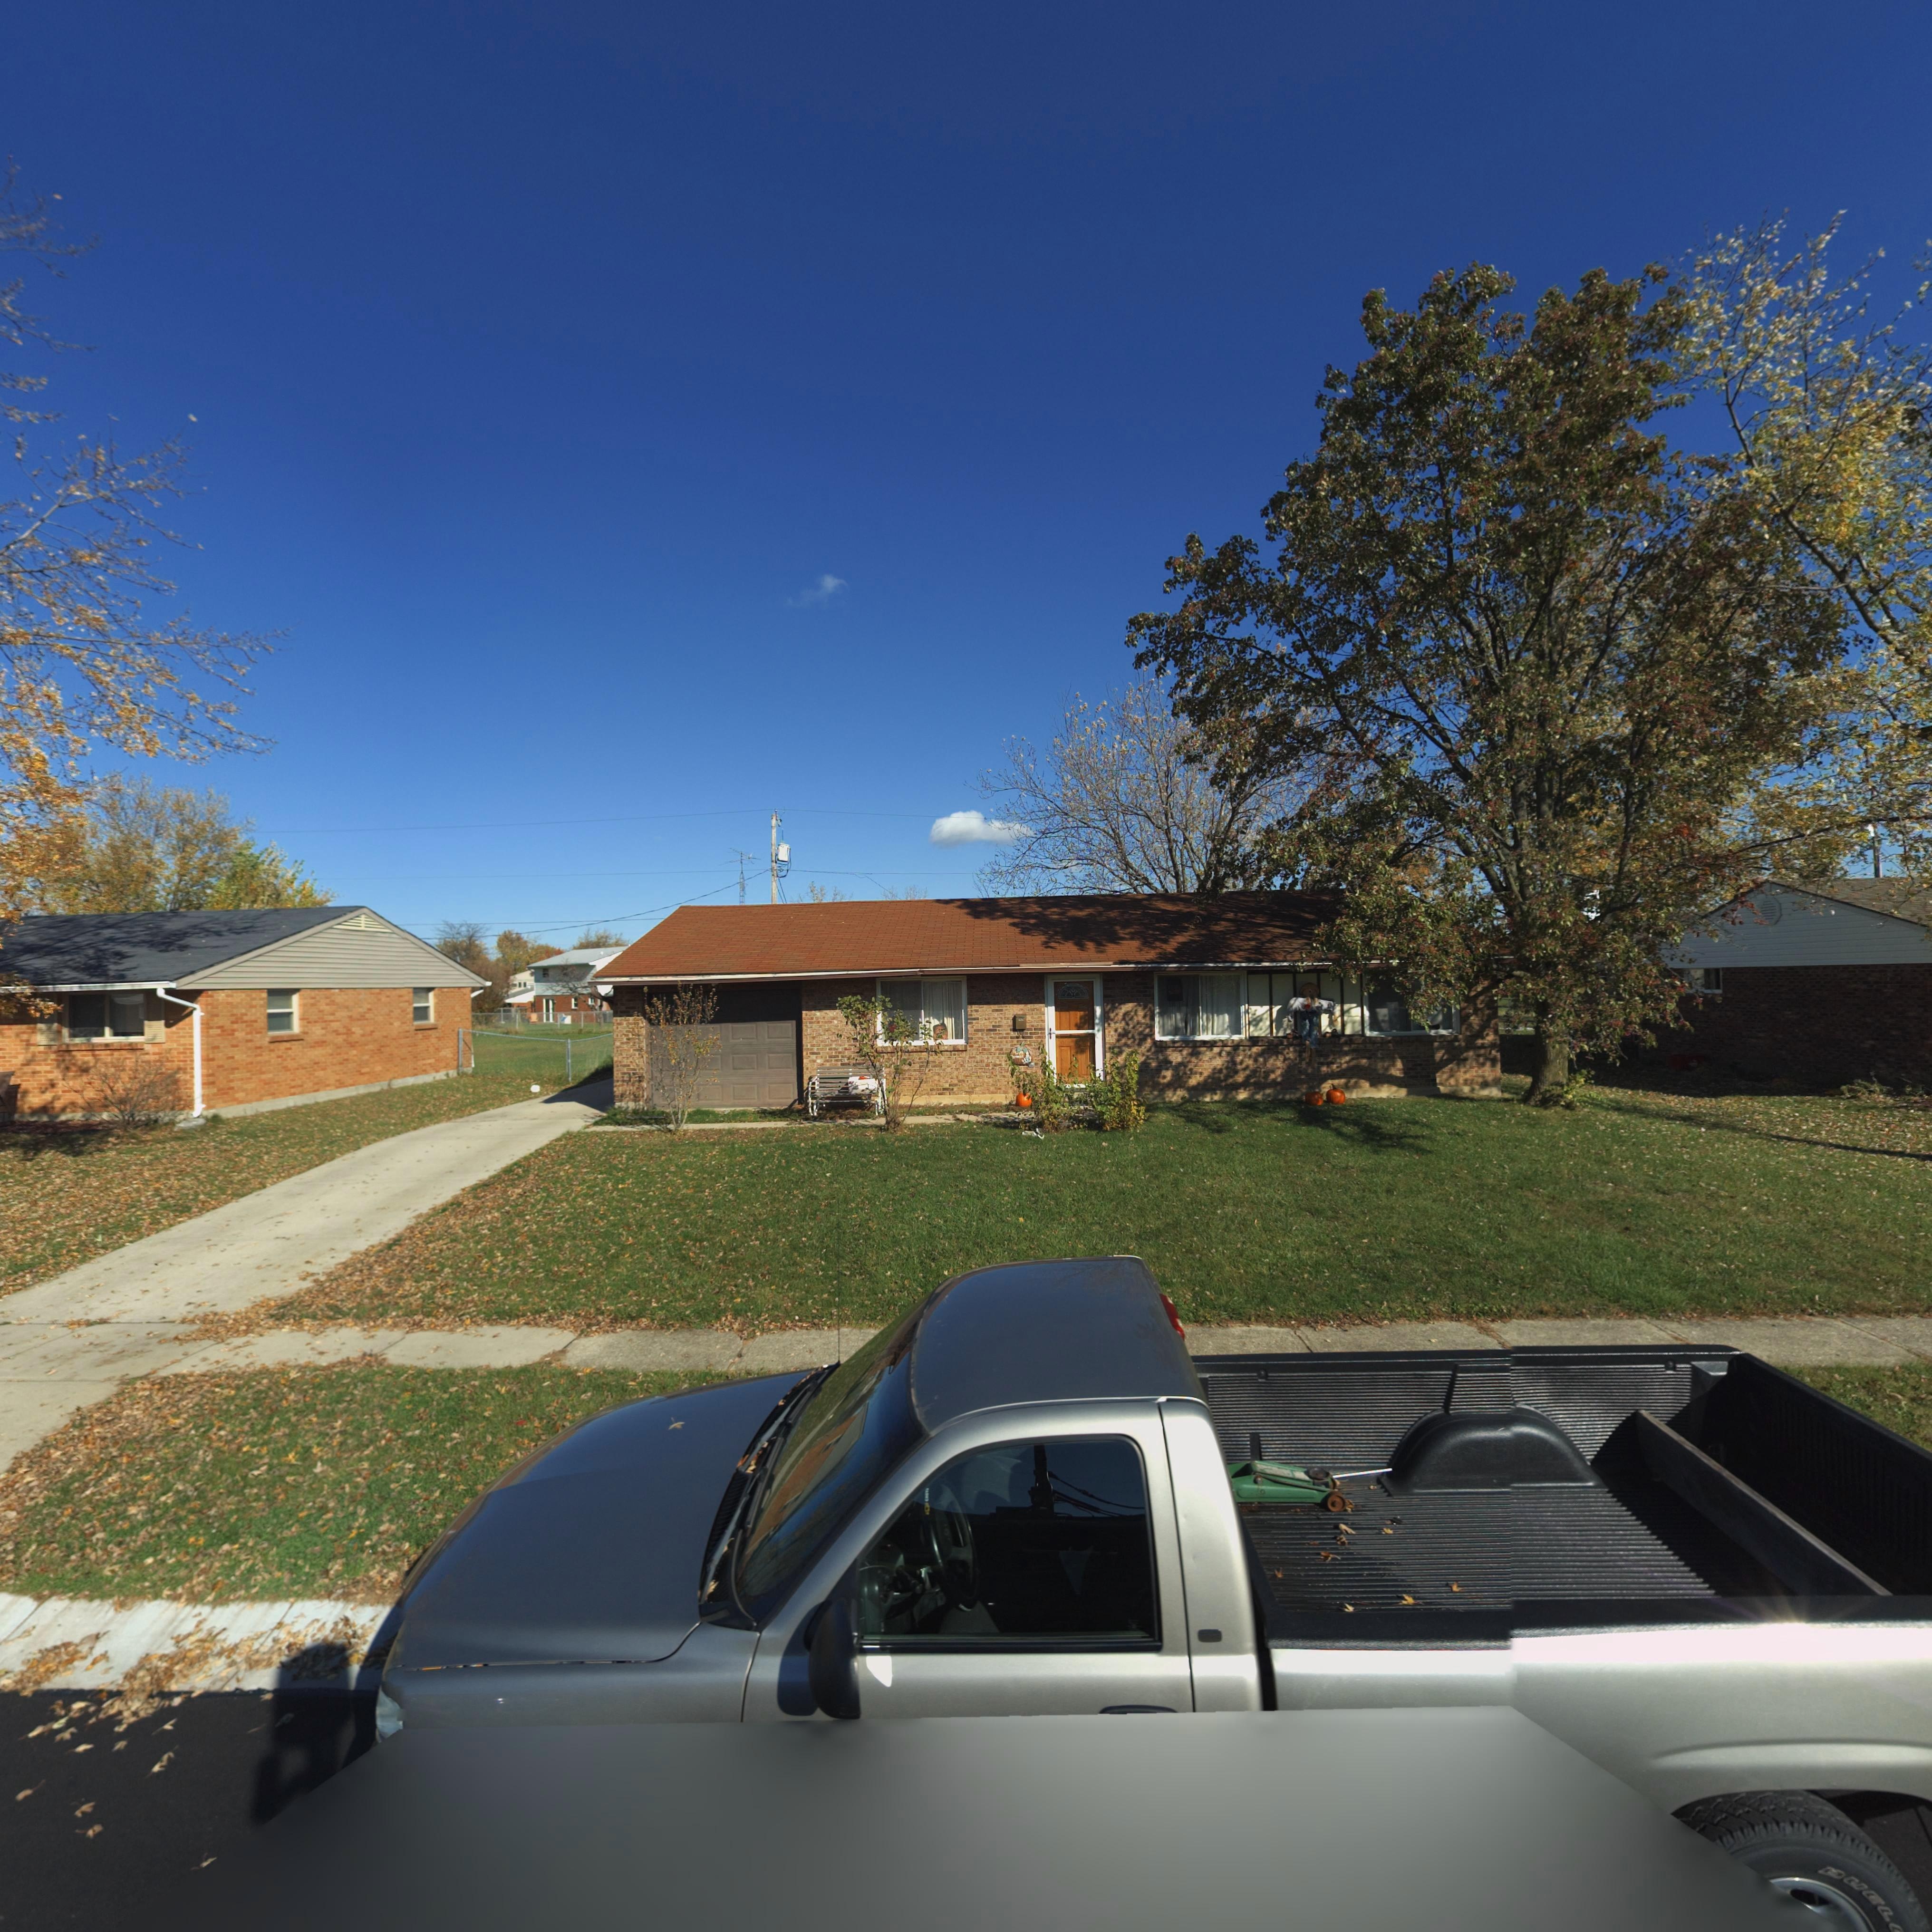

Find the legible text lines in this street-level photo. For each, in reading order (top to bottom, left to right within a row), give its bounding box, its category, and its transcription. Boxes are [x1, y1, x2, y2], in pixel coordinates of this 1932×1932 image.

[718, 984, 723, 990] StreetNumber: 6